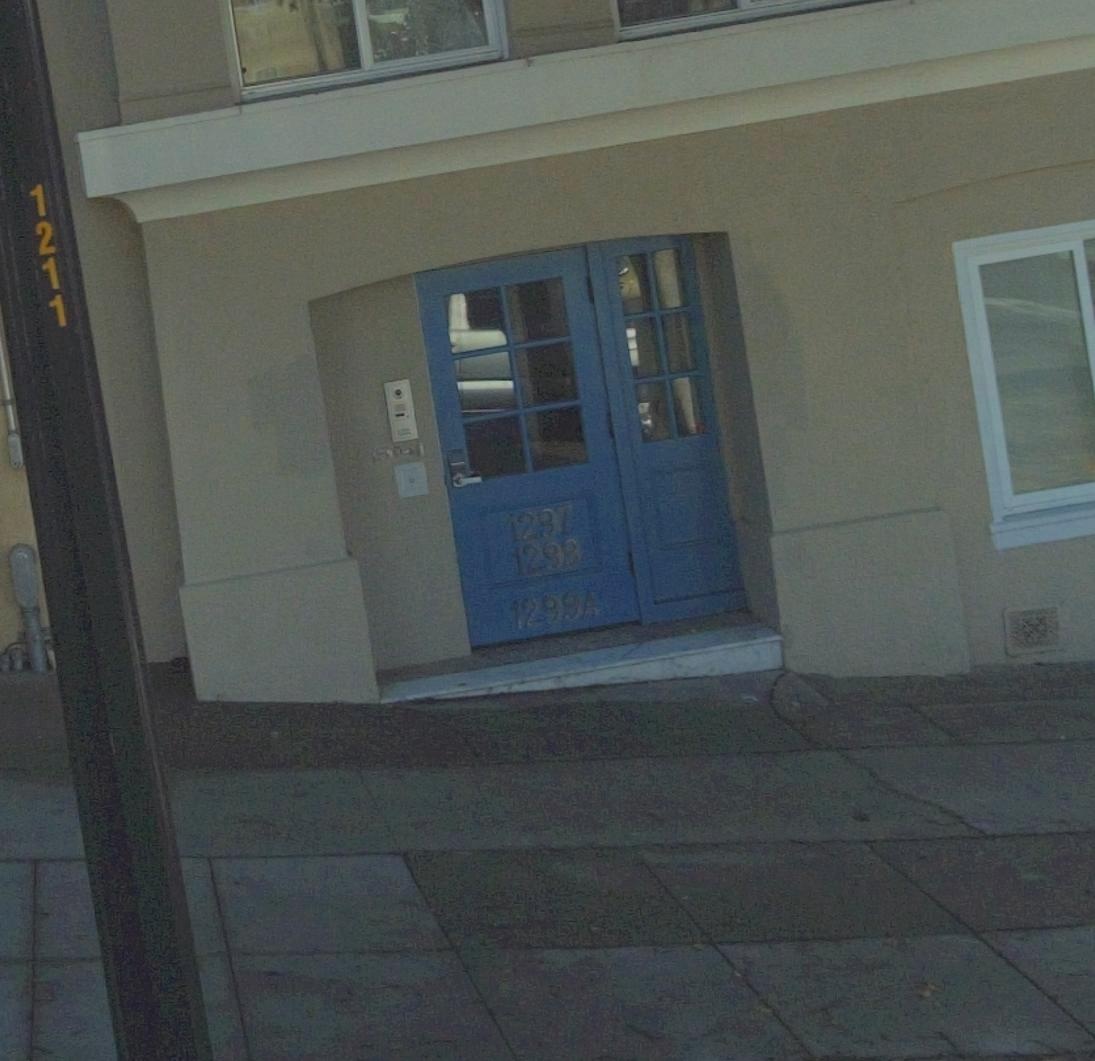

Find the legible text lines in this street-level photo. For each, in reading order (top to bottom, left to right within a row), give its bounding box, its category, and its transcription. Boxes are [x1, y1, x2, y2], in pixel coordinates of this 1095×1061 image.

[25, 179, 73, 335] None: 1211
[506, 503, 574, 546] StreetNumber: 1297
[510, 539, 583, 580] StreetNumber: 1298
[513, 587, 604, 630] StreetNumber: 1299A